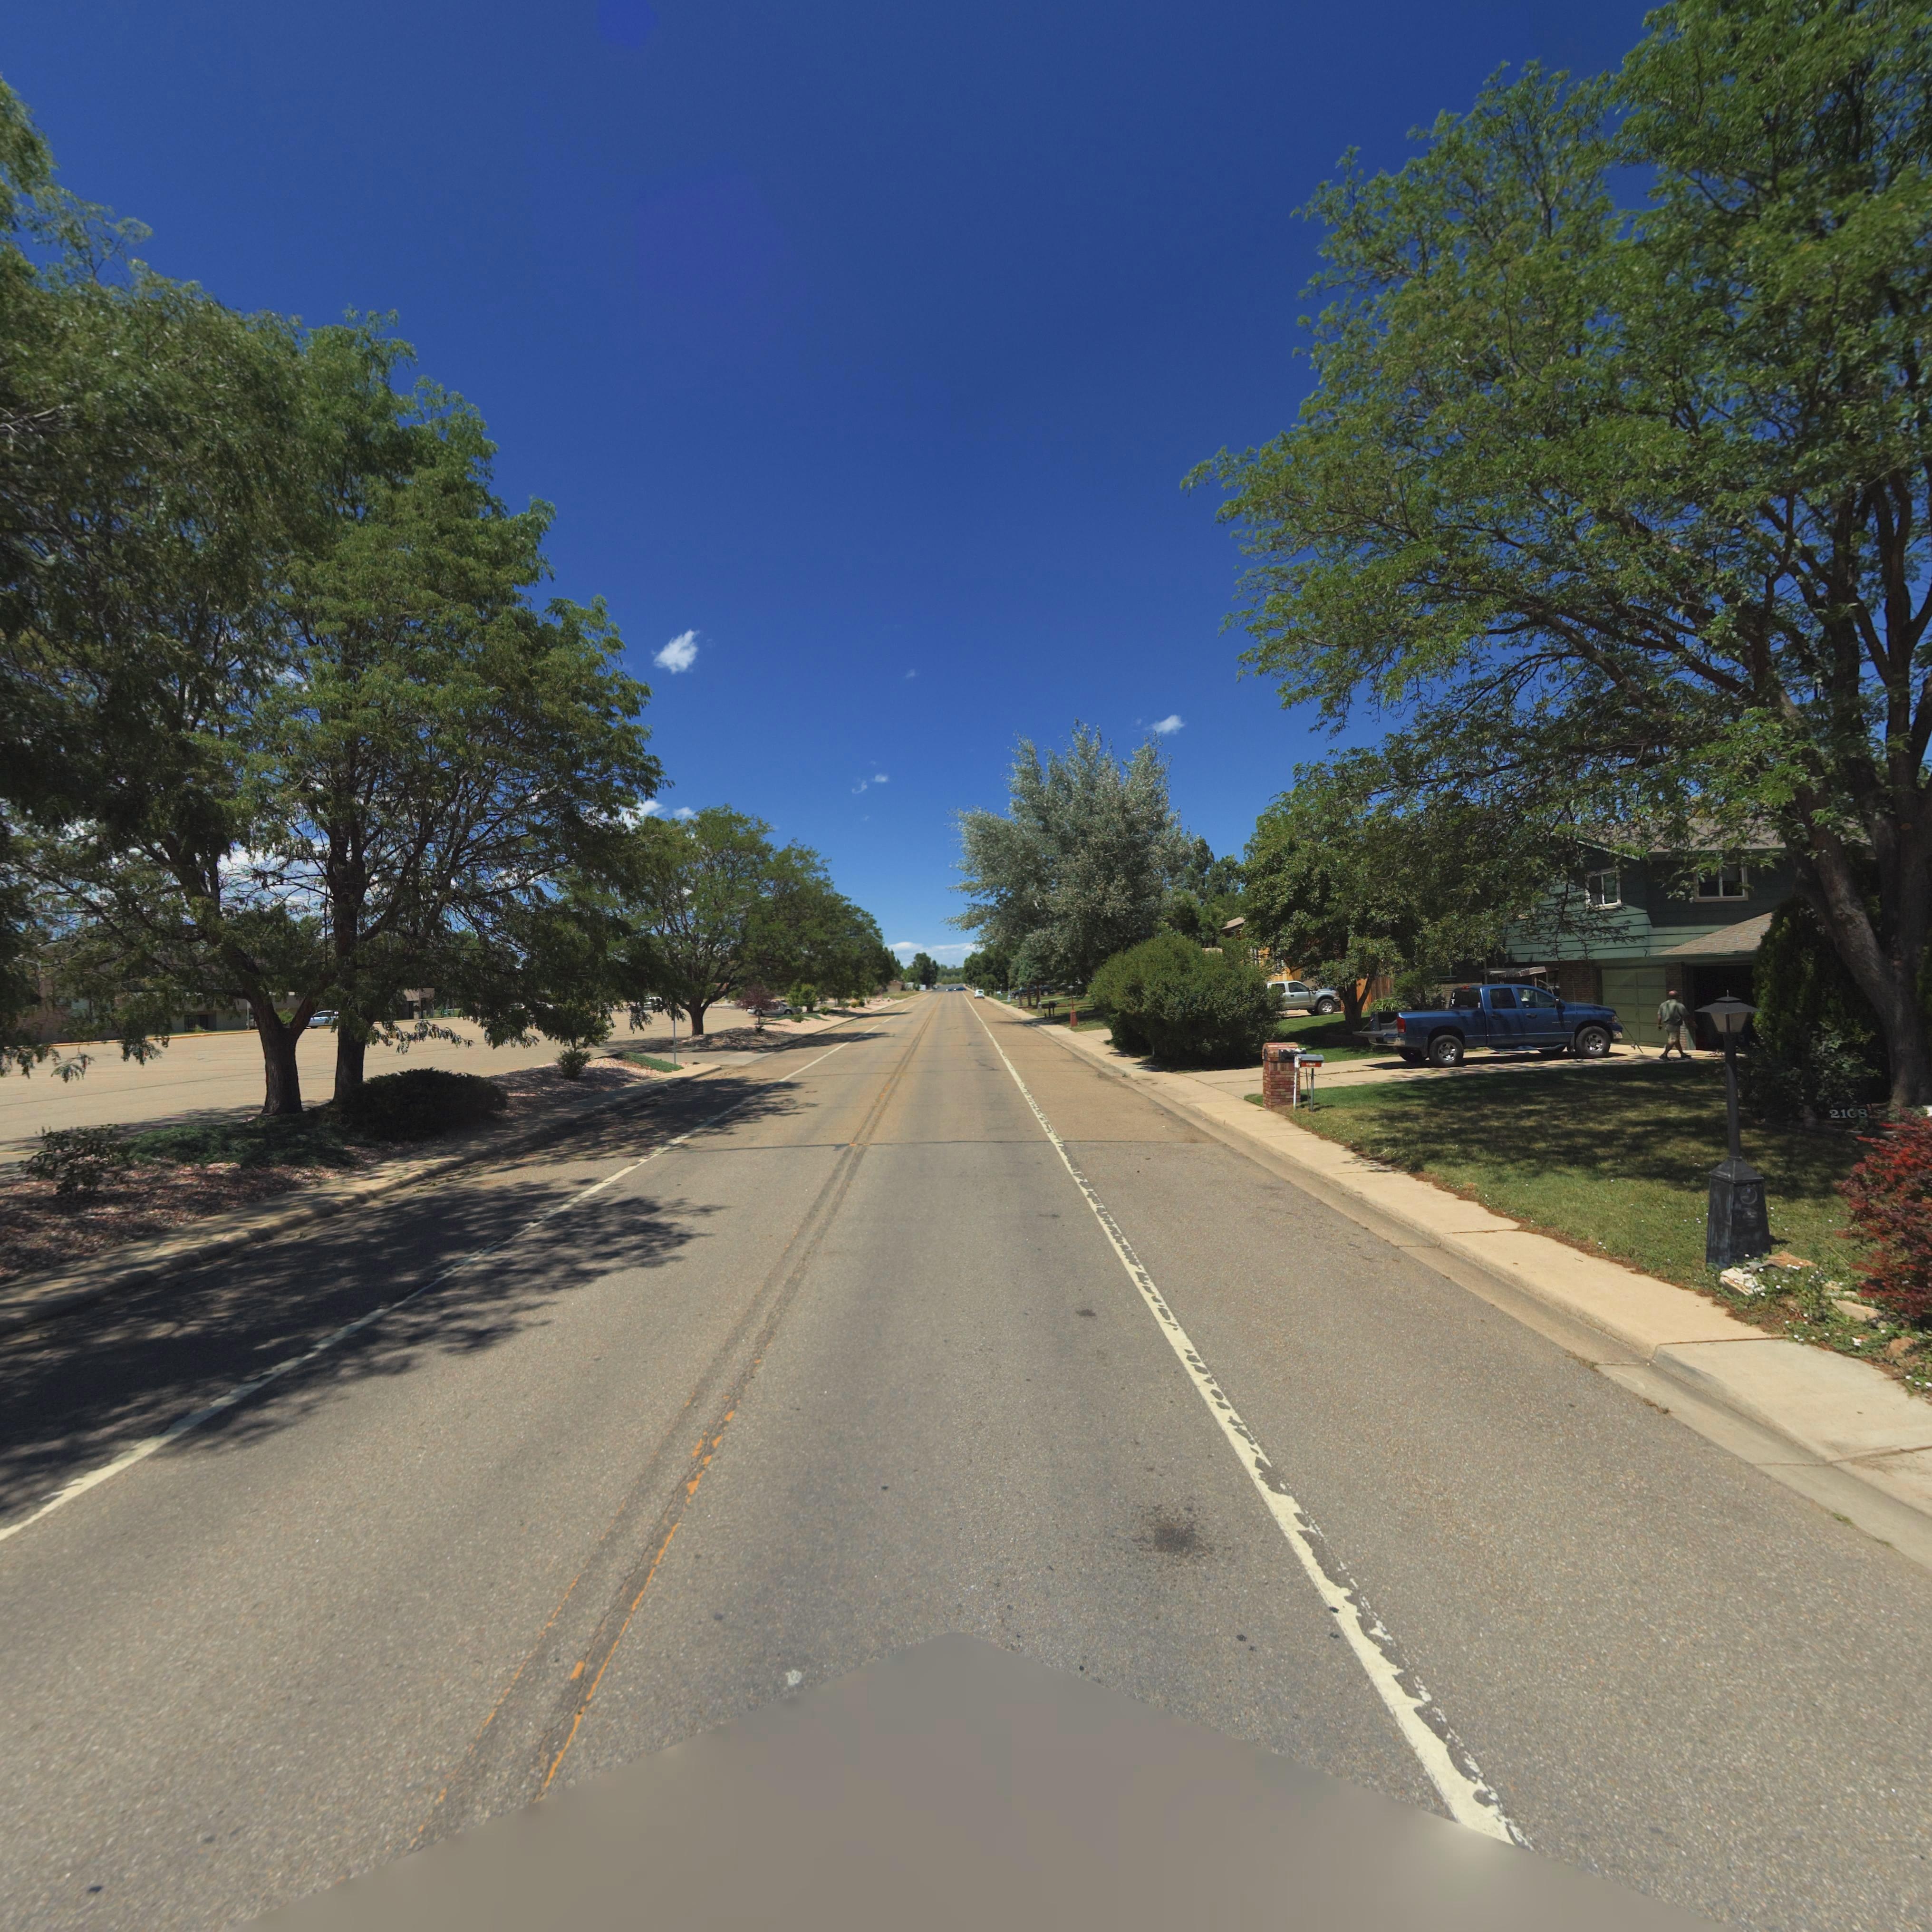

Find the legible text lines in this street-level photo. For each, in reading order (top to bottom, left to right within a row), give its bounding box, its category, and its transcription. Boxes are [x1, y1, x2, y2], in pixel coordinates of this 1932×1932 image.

[1828, 1108, 1871, 1119] StreetNumber: 2108